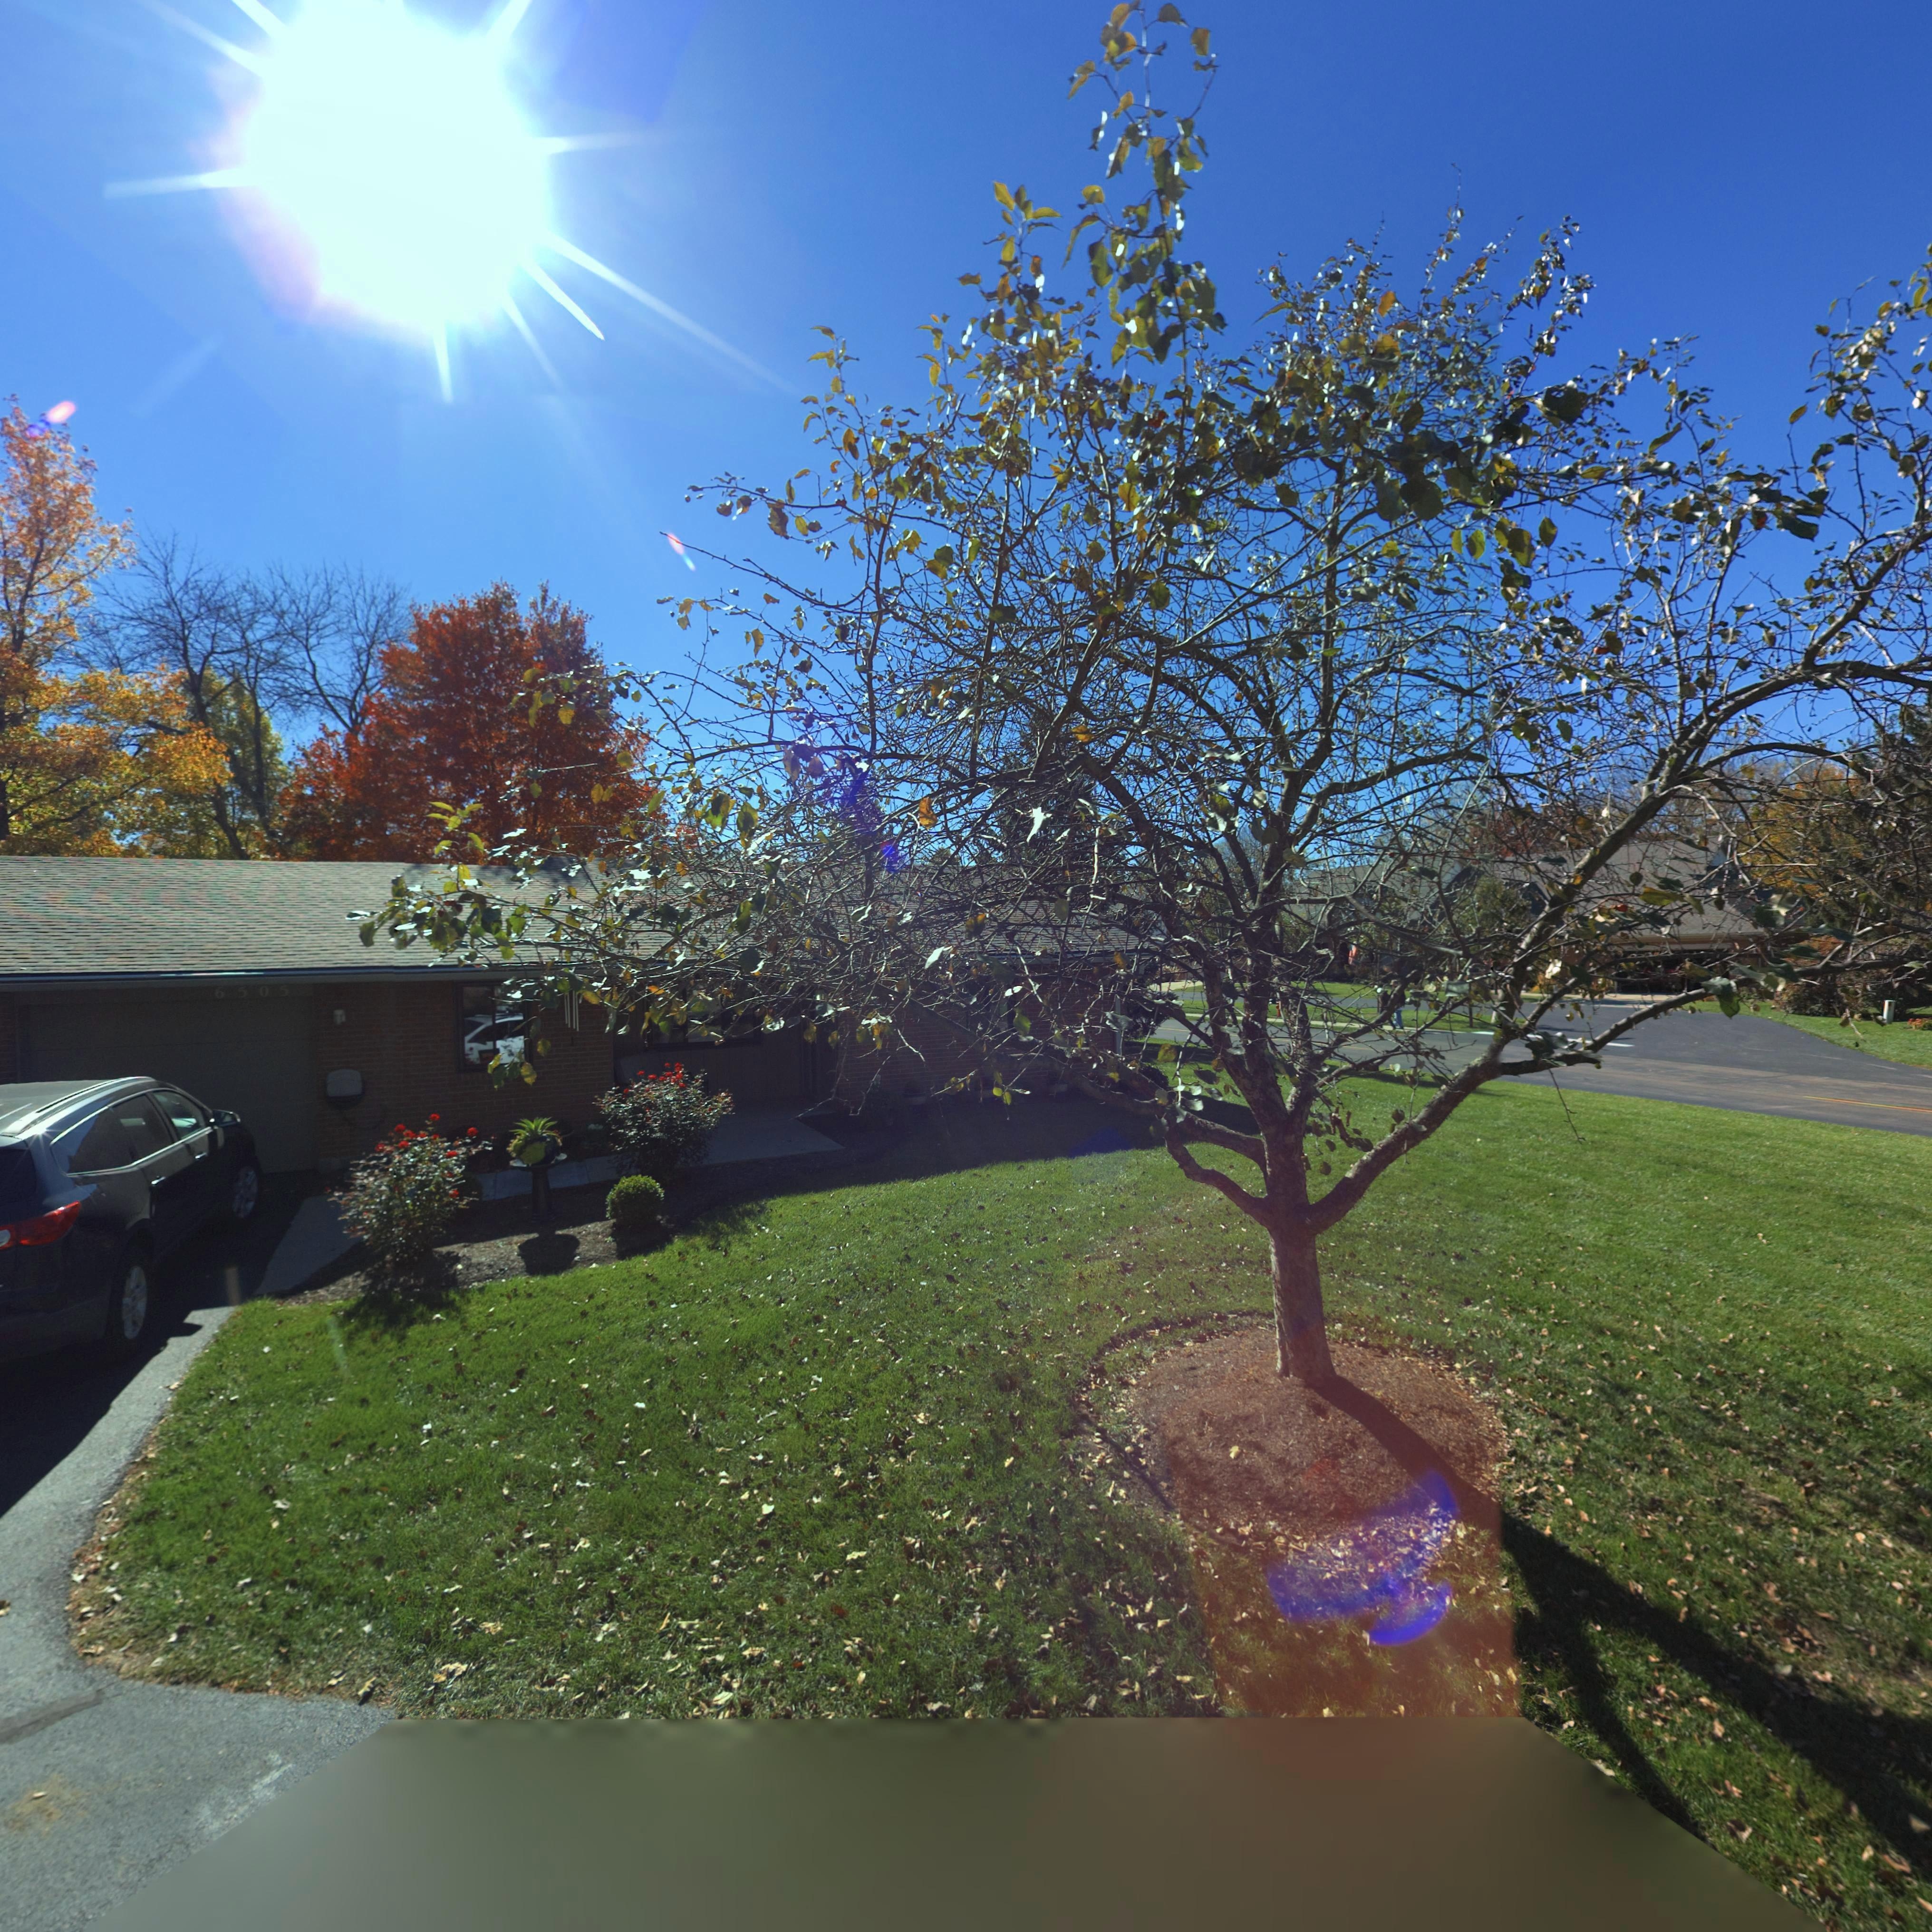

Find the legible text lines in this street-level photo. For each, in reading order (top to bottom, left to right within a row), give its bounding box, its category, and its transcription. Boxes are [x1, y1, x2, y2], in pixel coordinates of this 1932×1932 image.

[213, 984, 290, 1001] StreetNumber: 6505